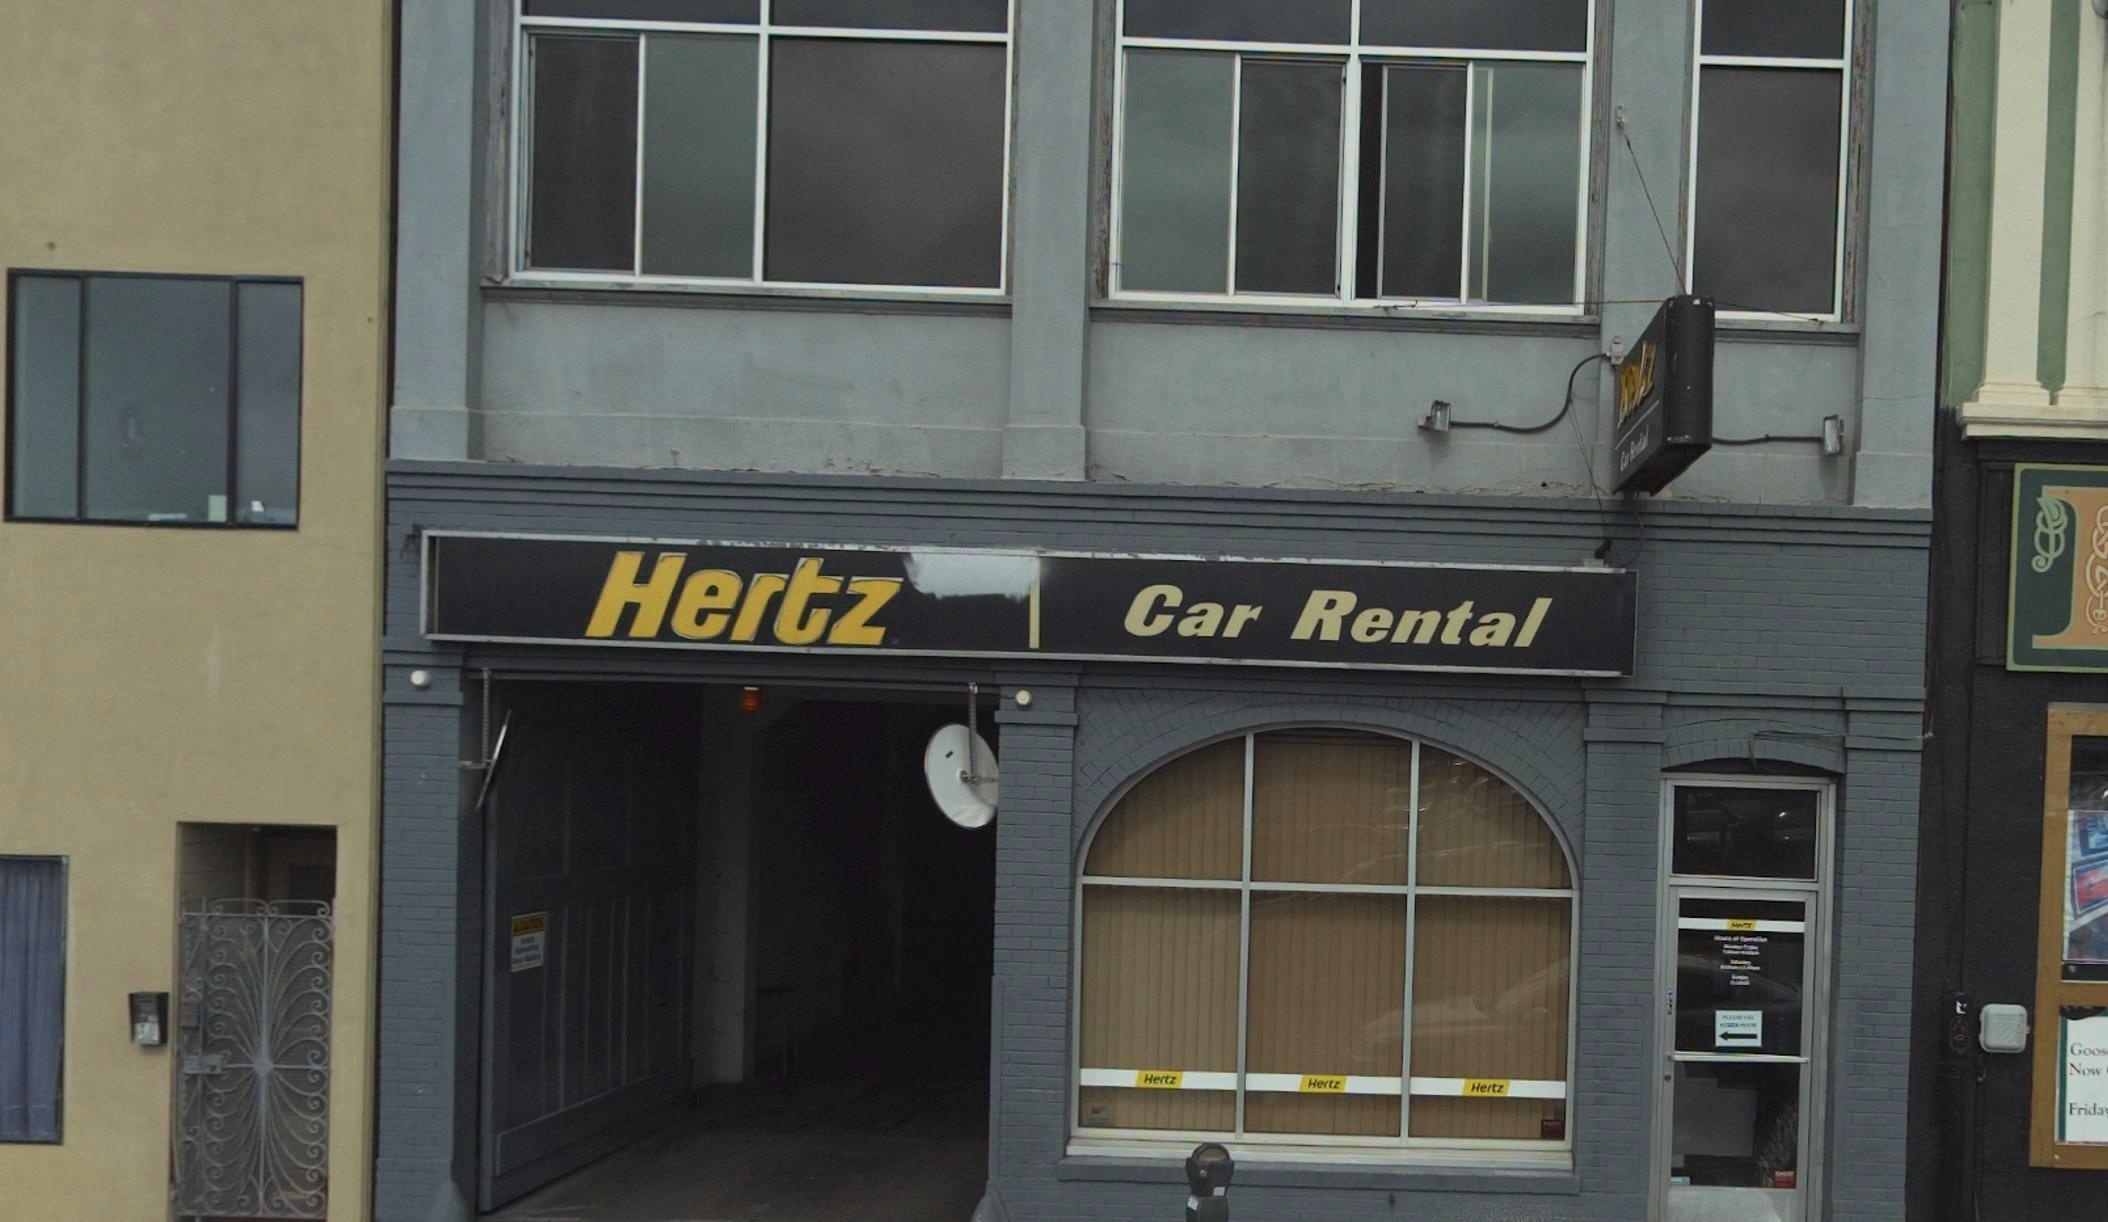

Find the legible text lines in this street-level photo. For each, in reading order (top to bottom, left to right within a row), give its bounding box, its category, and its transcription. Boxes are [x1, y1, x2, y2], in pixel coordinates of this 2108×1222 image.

[580, 547, 913, 652] BusinessName: Hertz
[1113, 579, 1564, 654] None: Car Rental
[2069, 1039, 2102, 1061] None: Goo
[1141, 1071, 1180, 1088] BusinessName: Hertz
[1304, 1075, 1343, 1091] BusinessName: Hertz
[1467, 1079, 1508, 1096] BusinessName: Hertz
[2066, 1059, 2105, 1080] None: Now
[2064, 1100, 2106, 1121] None: Frida